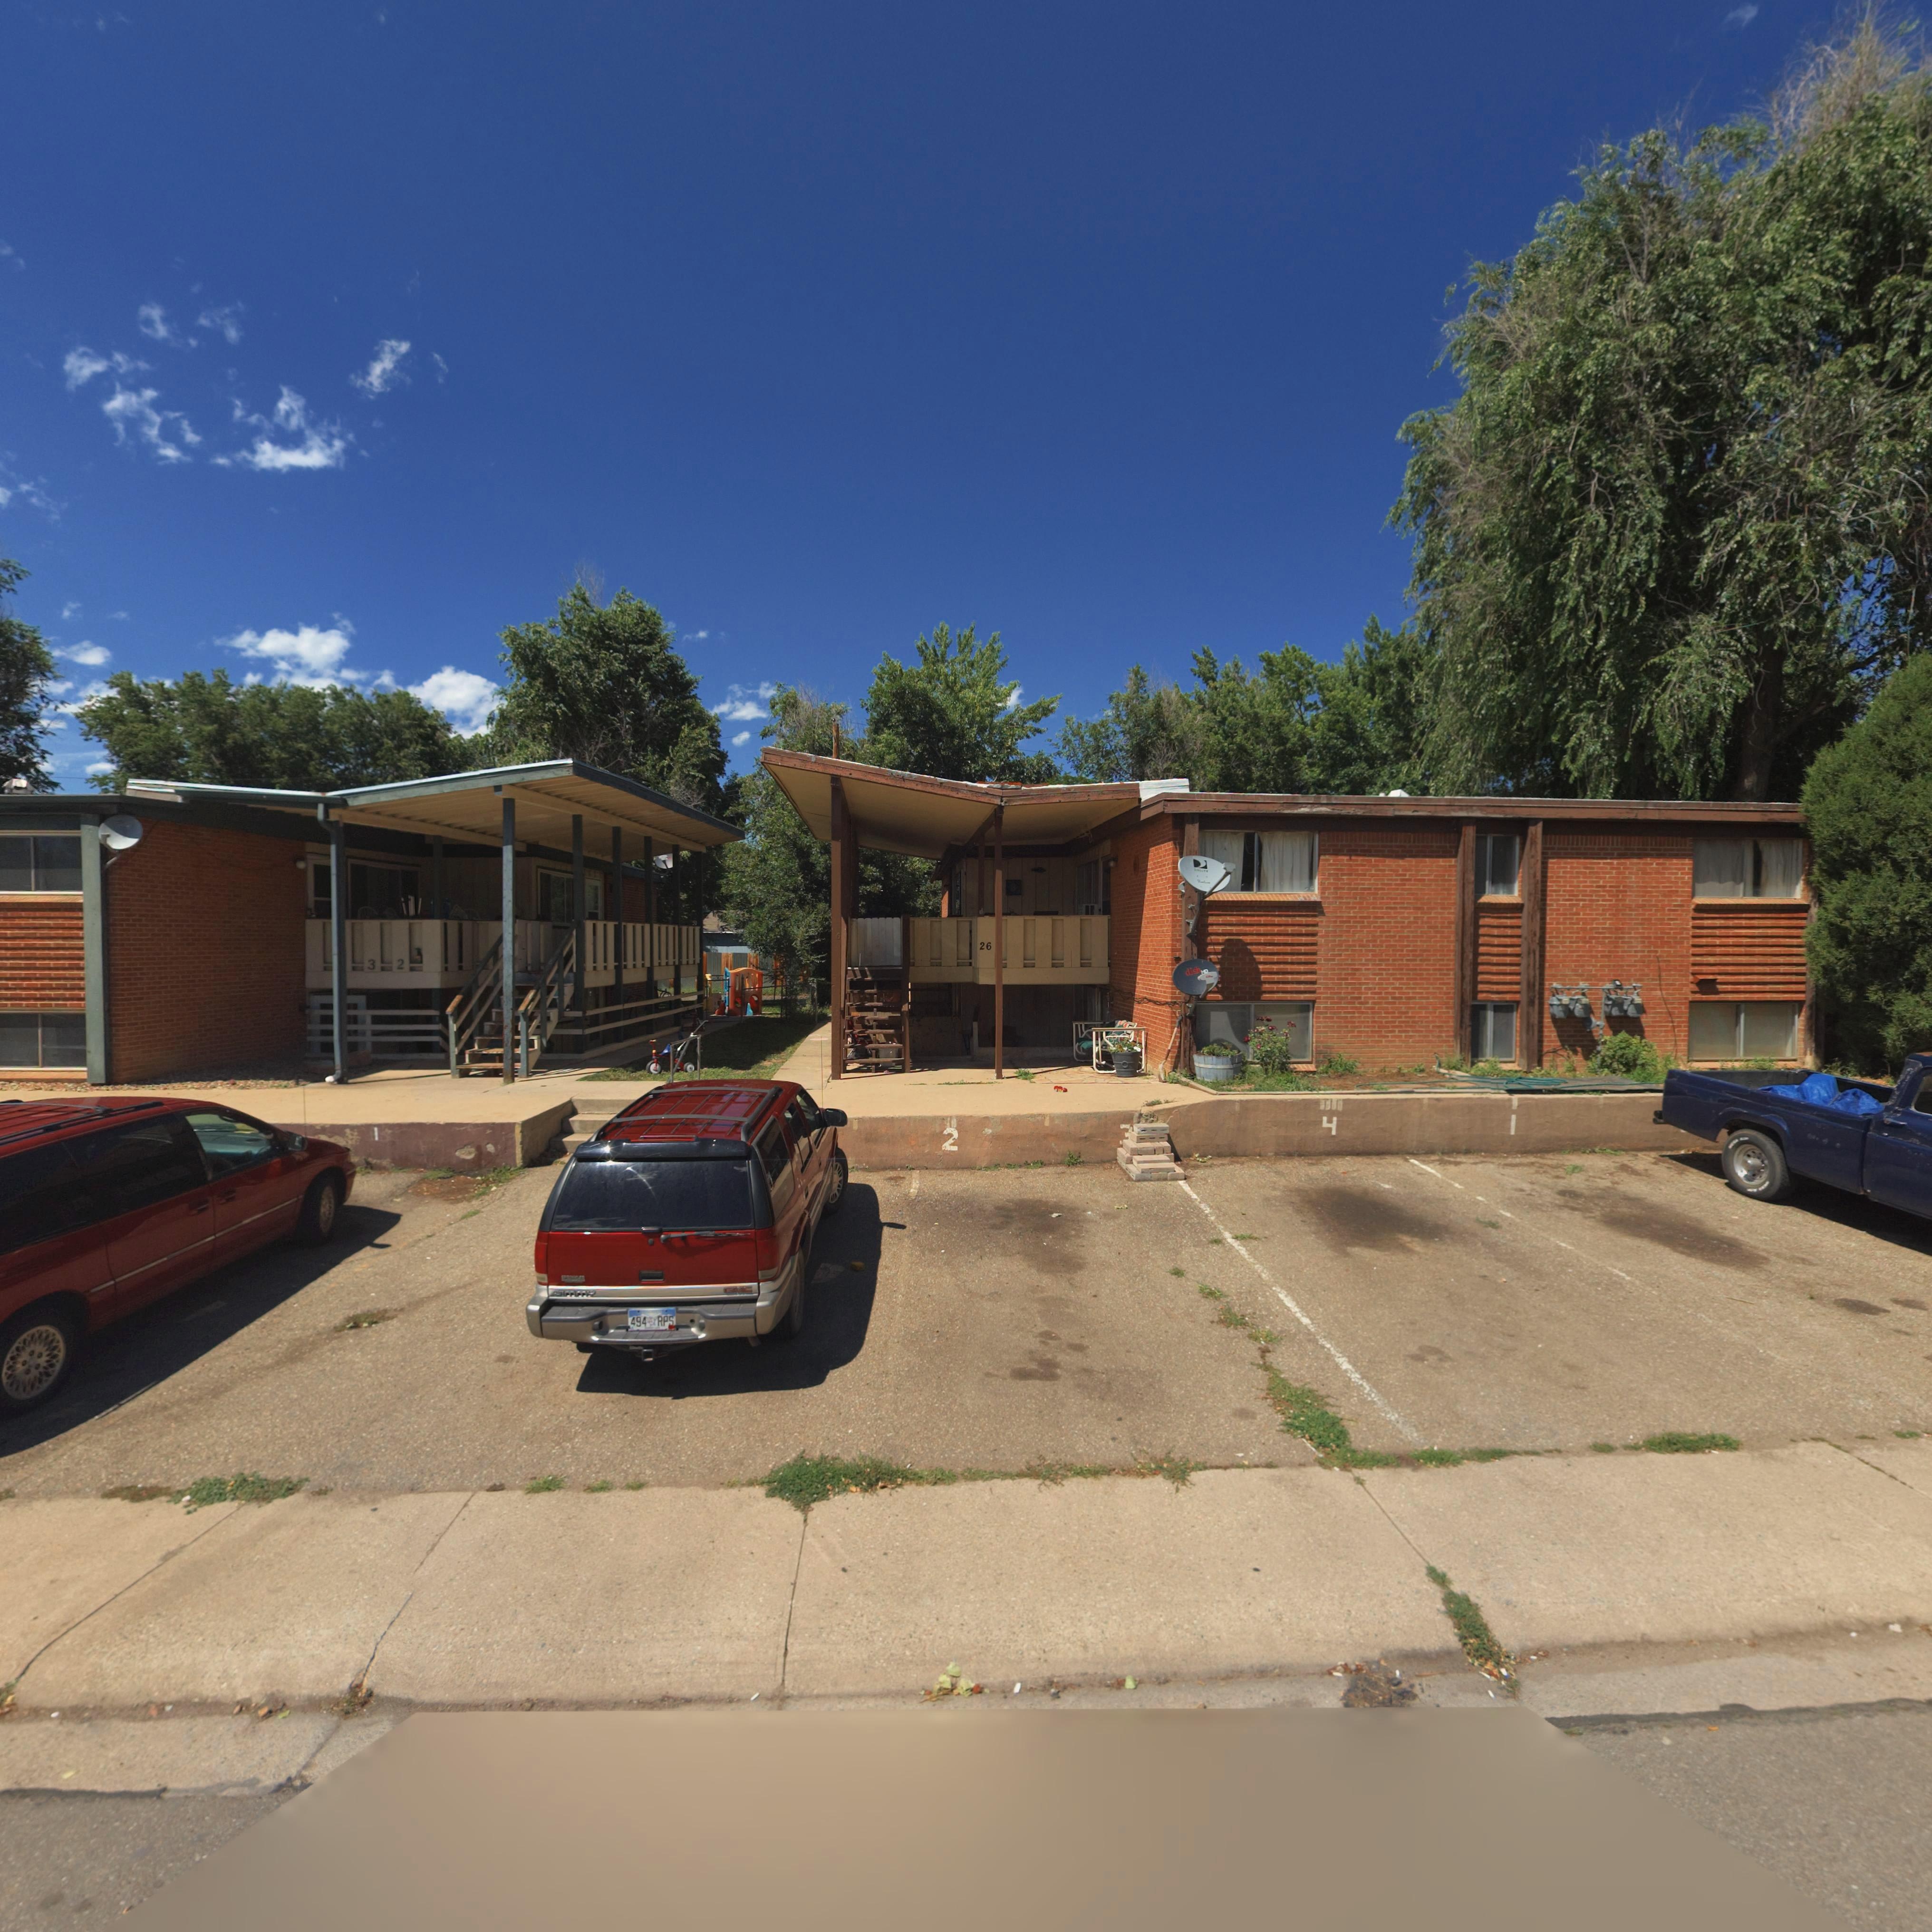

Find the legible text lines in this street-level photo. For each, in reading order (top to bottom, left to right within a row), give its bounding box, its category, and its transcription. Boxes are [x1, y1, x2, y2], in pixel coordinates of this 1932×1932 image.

[979, 941, 991, 950] StreetNumber: 26
[367, 958, 404, 970] StreetNumber: 3 2